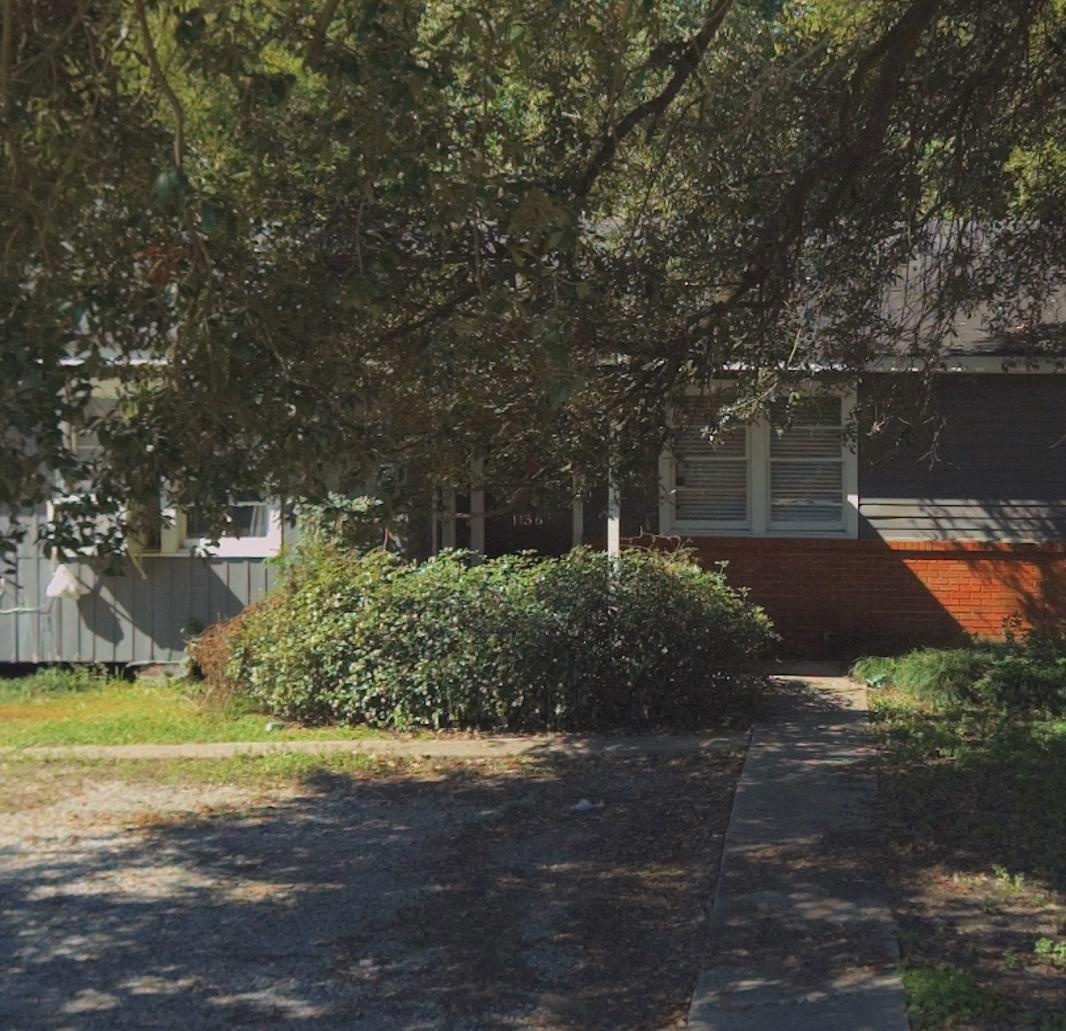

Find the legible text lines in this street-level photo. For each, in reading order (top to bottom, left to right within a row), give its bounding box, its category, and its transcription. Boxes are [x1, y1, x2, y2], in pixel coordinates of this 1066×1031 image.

[511, 513, 544, 527] StreetNumber: 1136